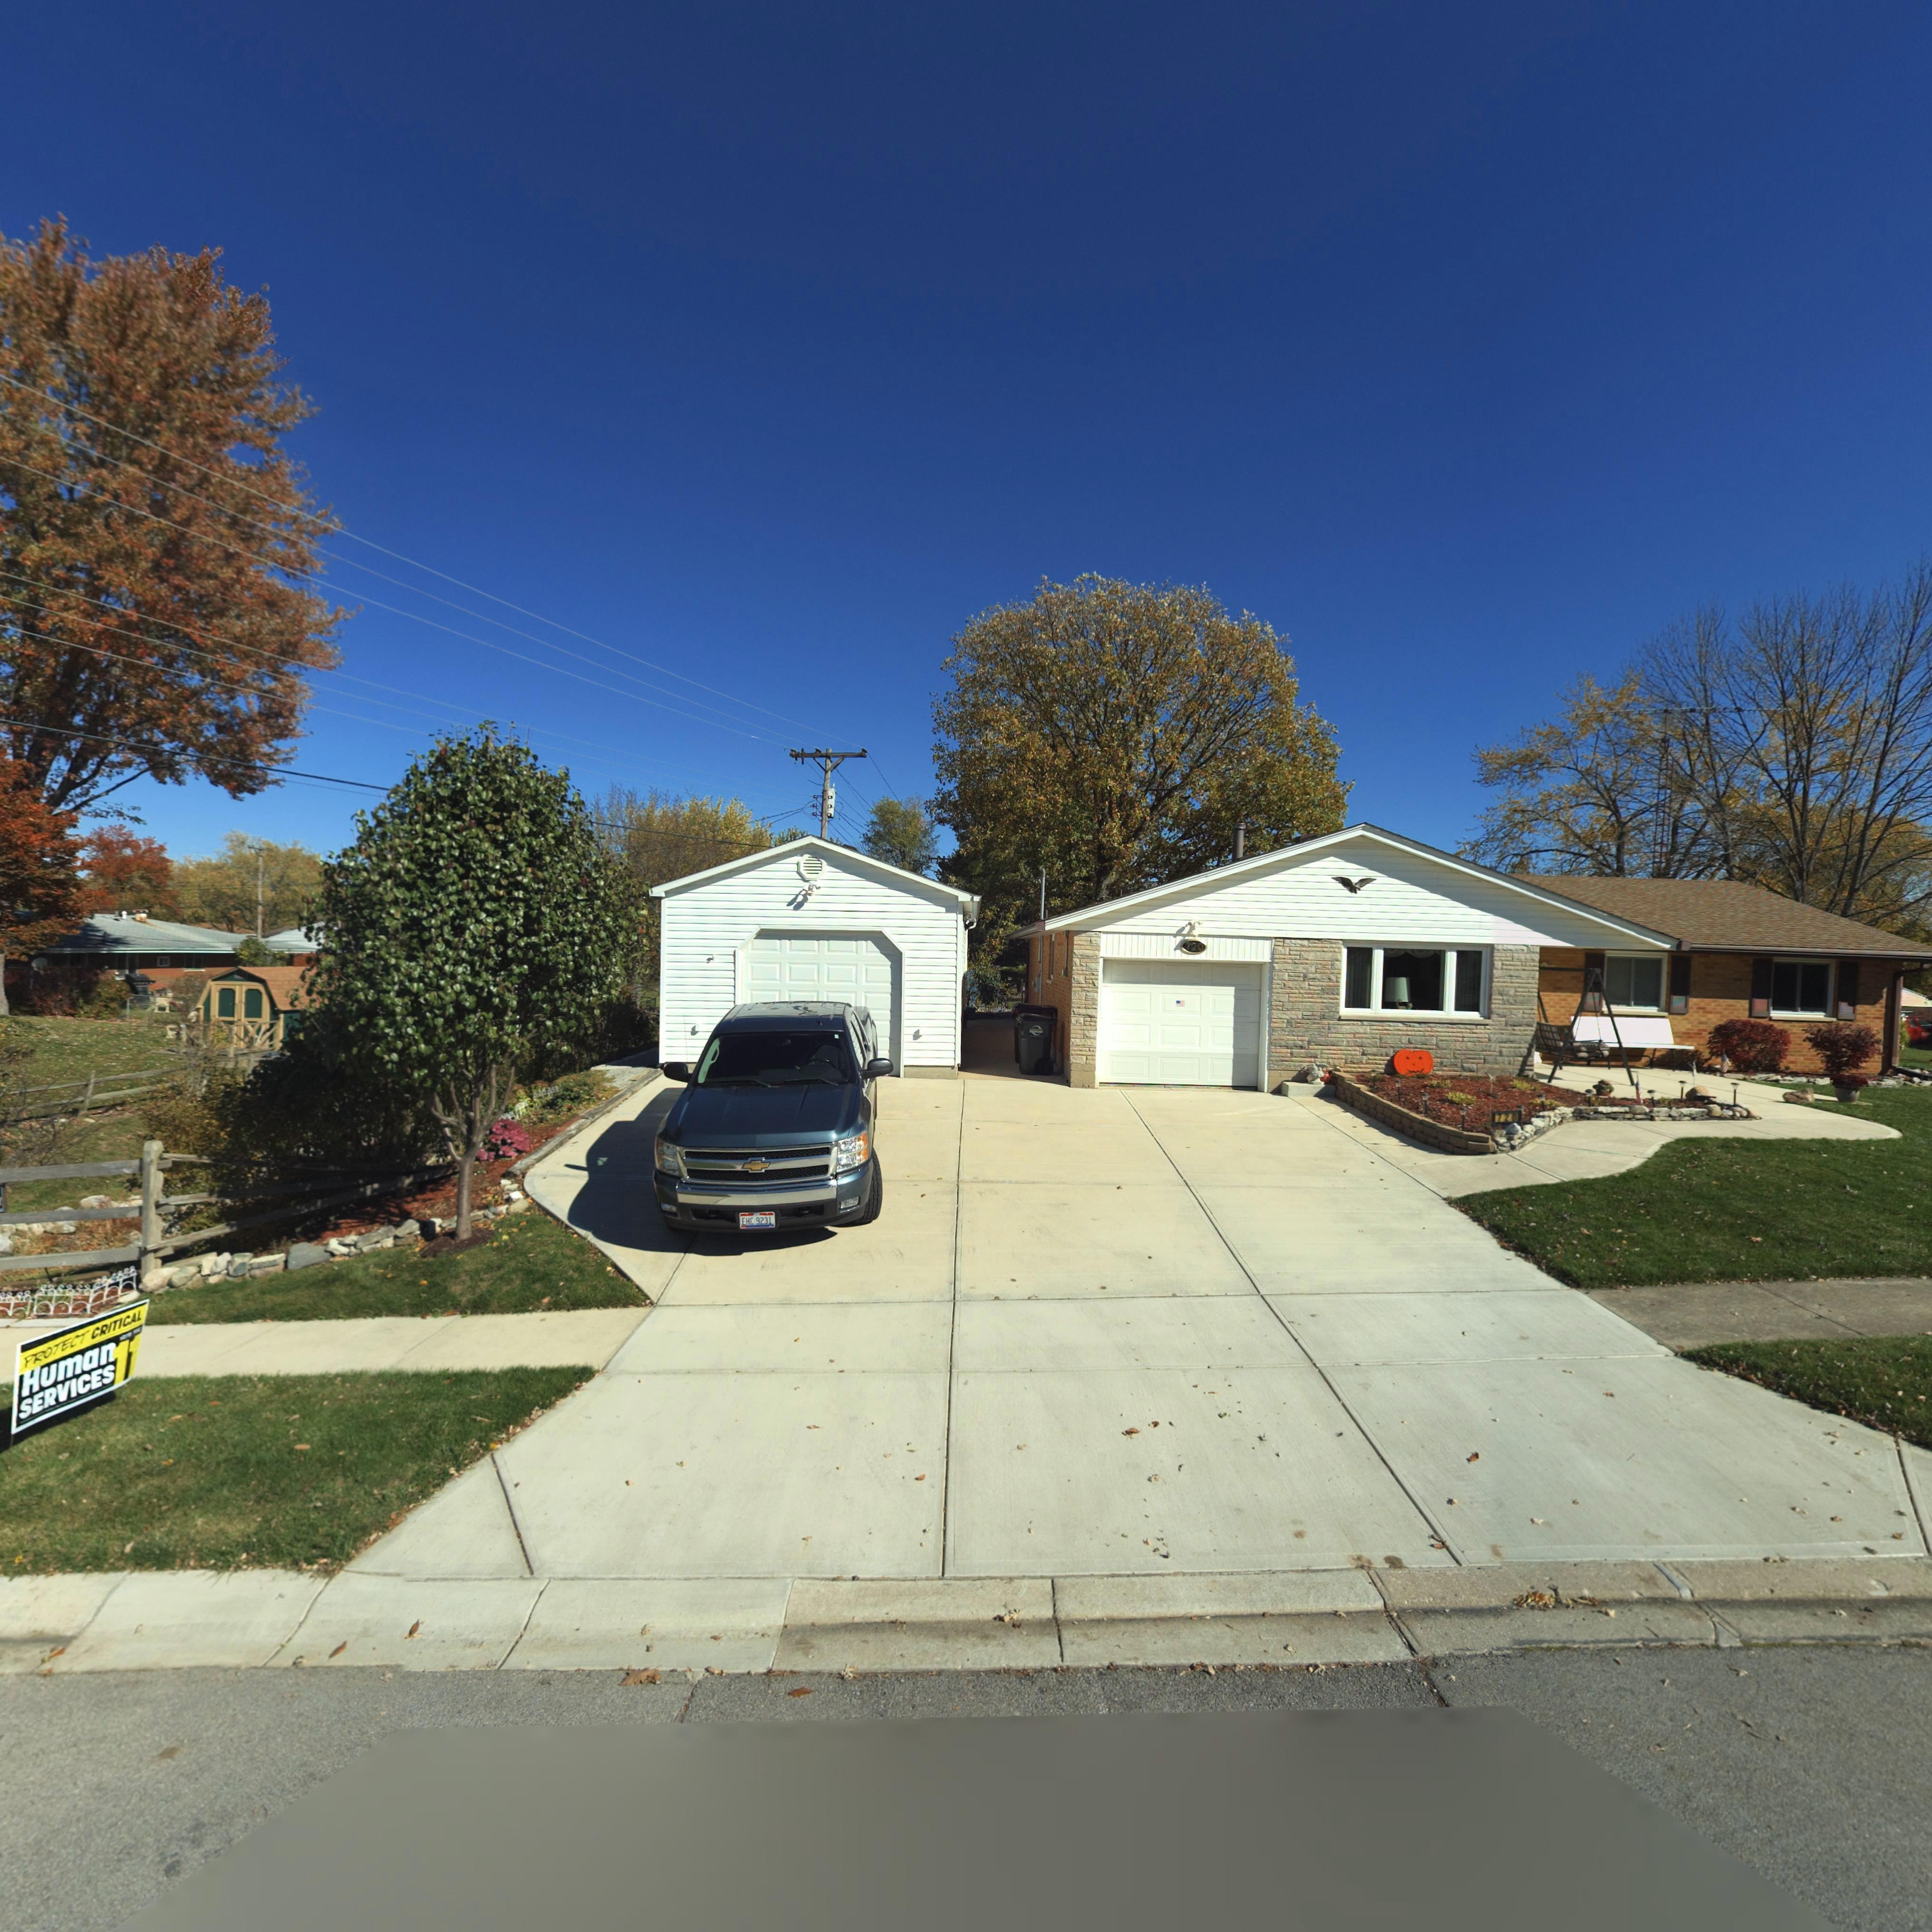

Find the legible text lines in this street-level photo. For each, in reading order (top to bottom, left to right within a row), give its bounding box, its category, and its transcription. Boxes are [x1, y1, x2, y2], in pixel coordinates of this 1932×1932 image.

[1184, 941, 1205, 952] StreetNumber: 720
[1495, 1112, 1518, 1123] StreetNumber: 720
[741, 1216, 773, 1226] None: EHC*9231
[18, 1361, 117, 1423] None: SERVICES
[19, 1341, 118, 1400] None: Human
[22, 1309, 142, 1370] None: PROTECT CRITICAL
[112, 1331, 143, 1387] None: 11